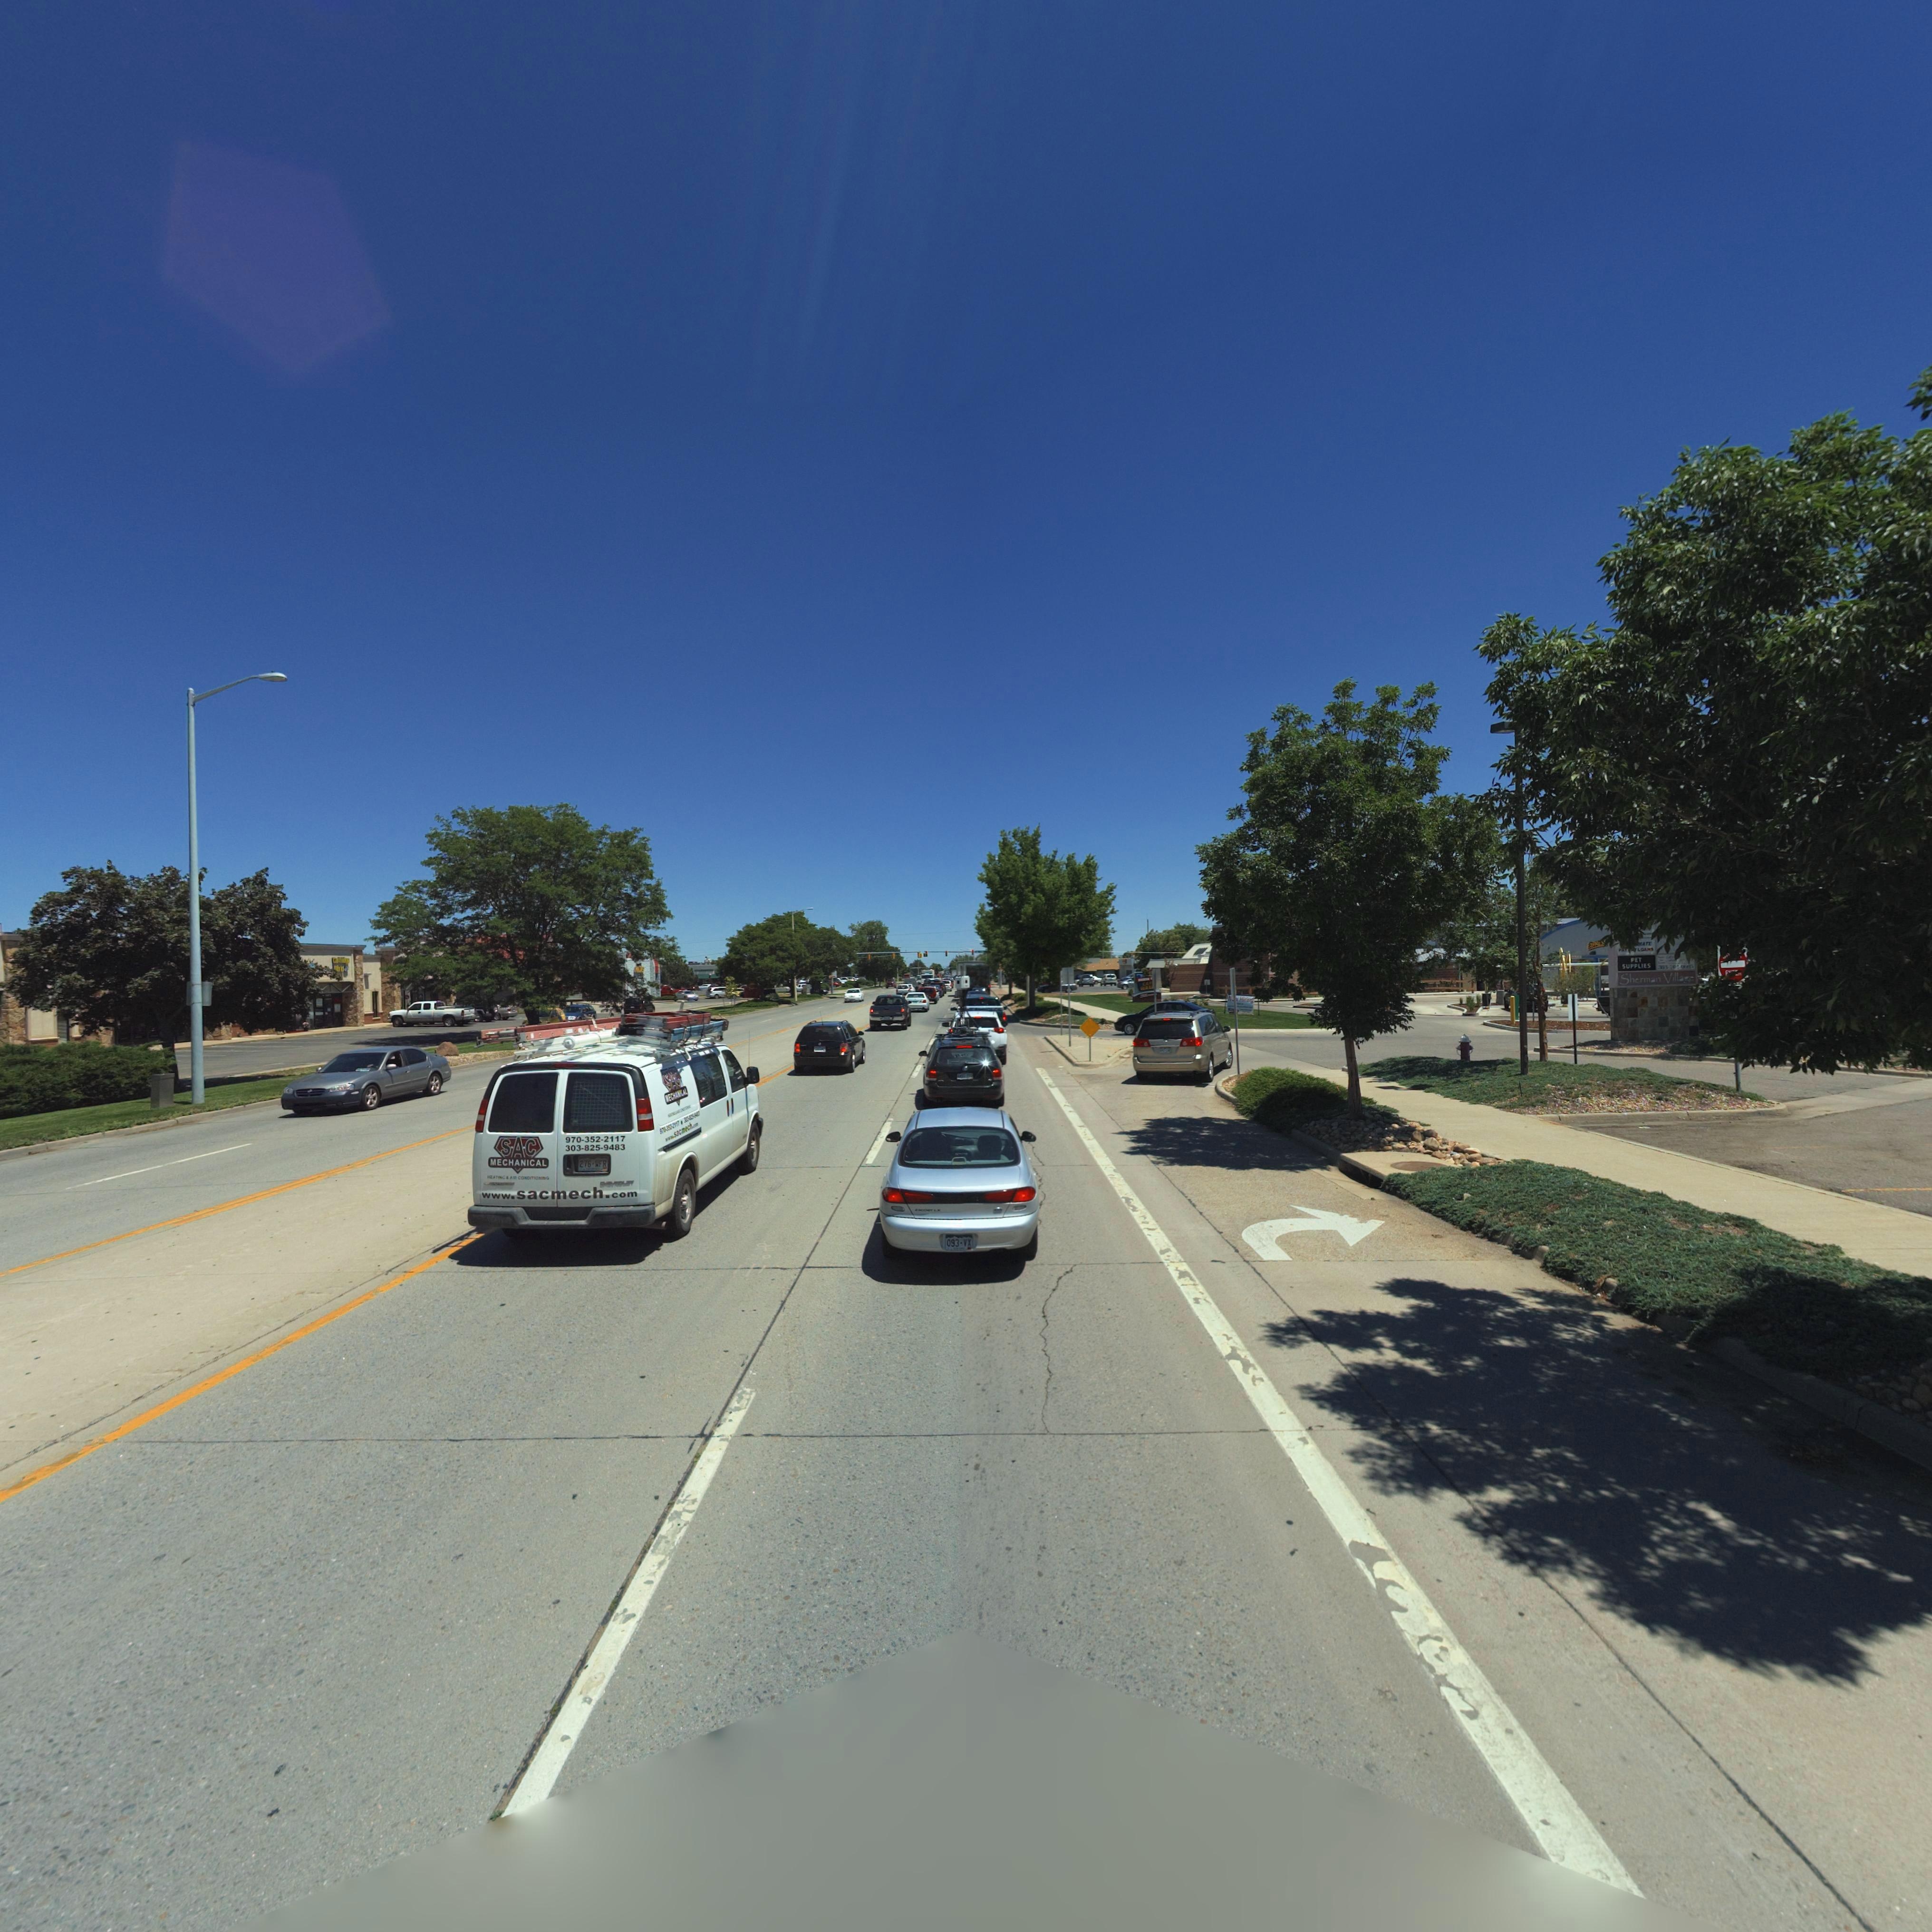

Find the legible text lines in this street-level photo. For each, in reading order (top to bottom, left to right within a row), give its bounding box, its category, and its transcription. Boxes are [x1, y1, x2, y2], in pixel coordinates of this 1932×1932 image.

[1587, 940, 1599, 949] BusinessName: EXPR
[1640, 941, 1652, 946] BusinessName: ATE
[1637, 947, 1654, 951] BusinessName: LOANS
[1631, 957, 1642, 963] BusinessName: PET
[1622, 963, 1651, 969] BusinessName: SUPPLIES
[1142, 981, 1152, 986] BusinessName: CAR
[1140, 985, 1151, 990] BusinessName: WAS